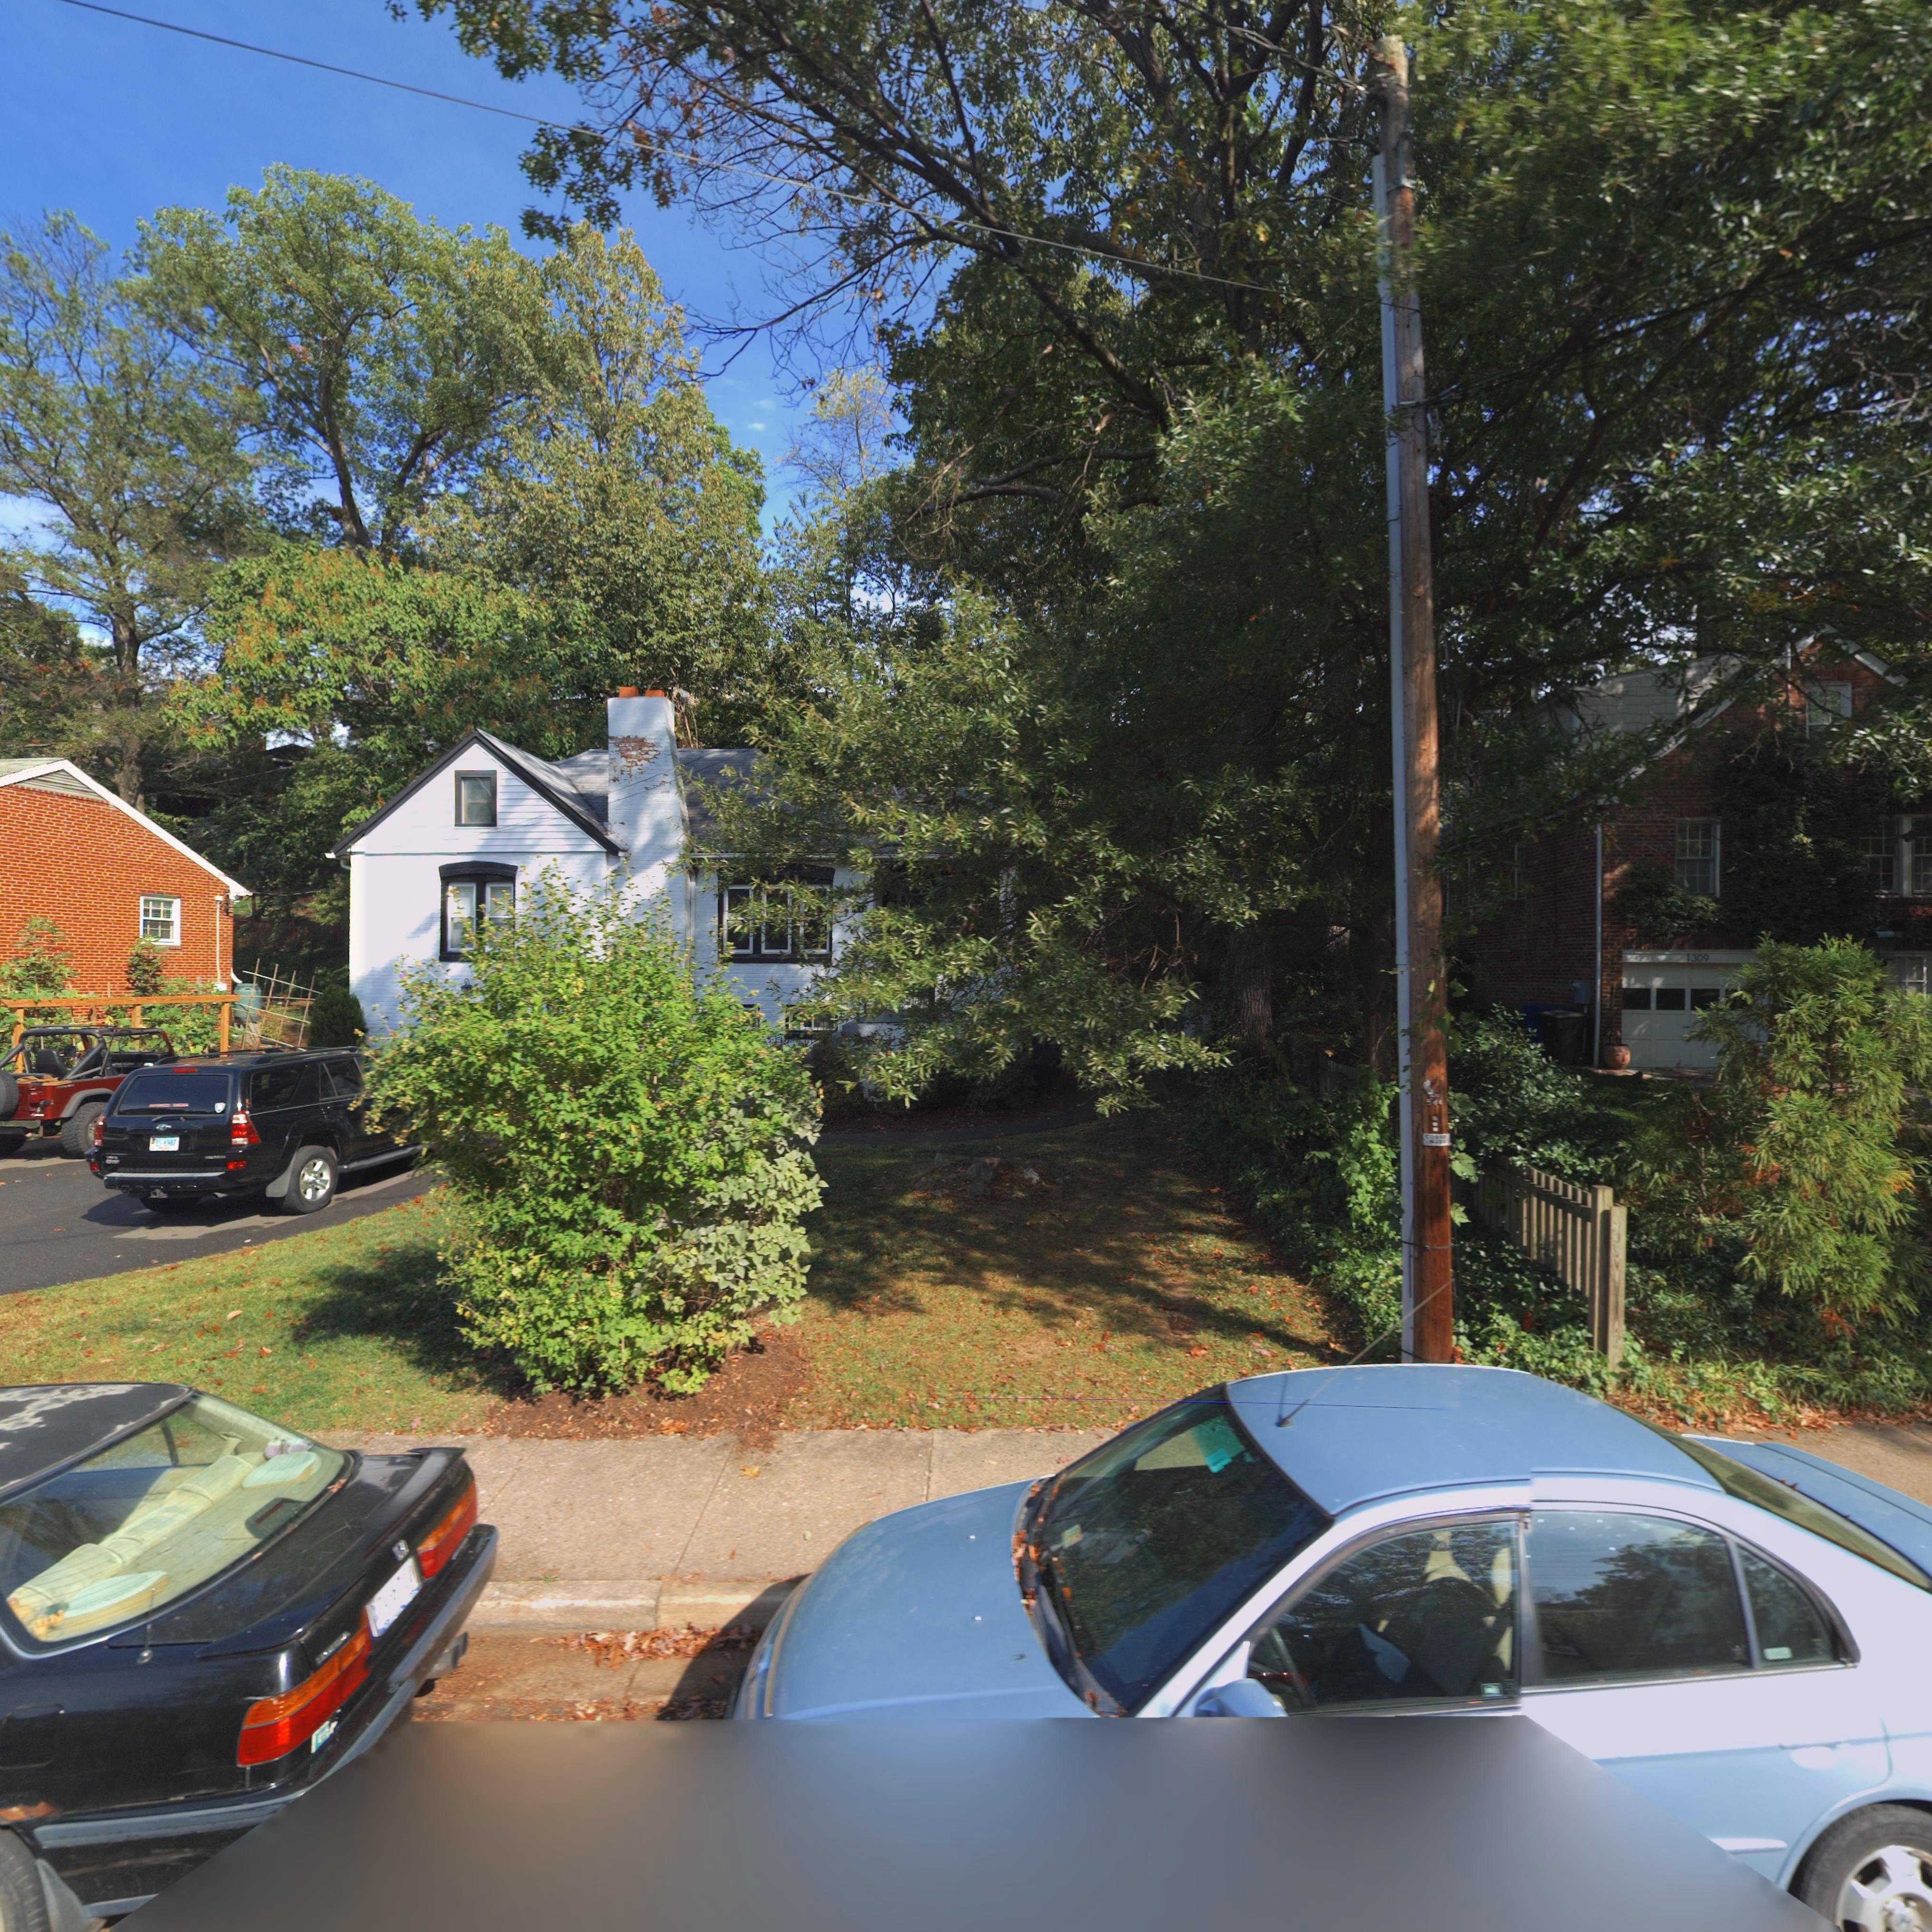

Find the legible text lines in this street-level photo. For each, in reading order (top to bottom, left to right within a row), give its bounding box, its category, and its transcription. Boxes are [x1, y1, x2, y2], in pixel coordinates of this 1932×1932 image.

[852, 906, 867, 913] StreetNumber: **15
[1686, 954, 1710, 963] StreetNumber: 1309
[1425, 1098, 1443, 1107] None: 544
[1425, 1134, 1430, 1140] None: C